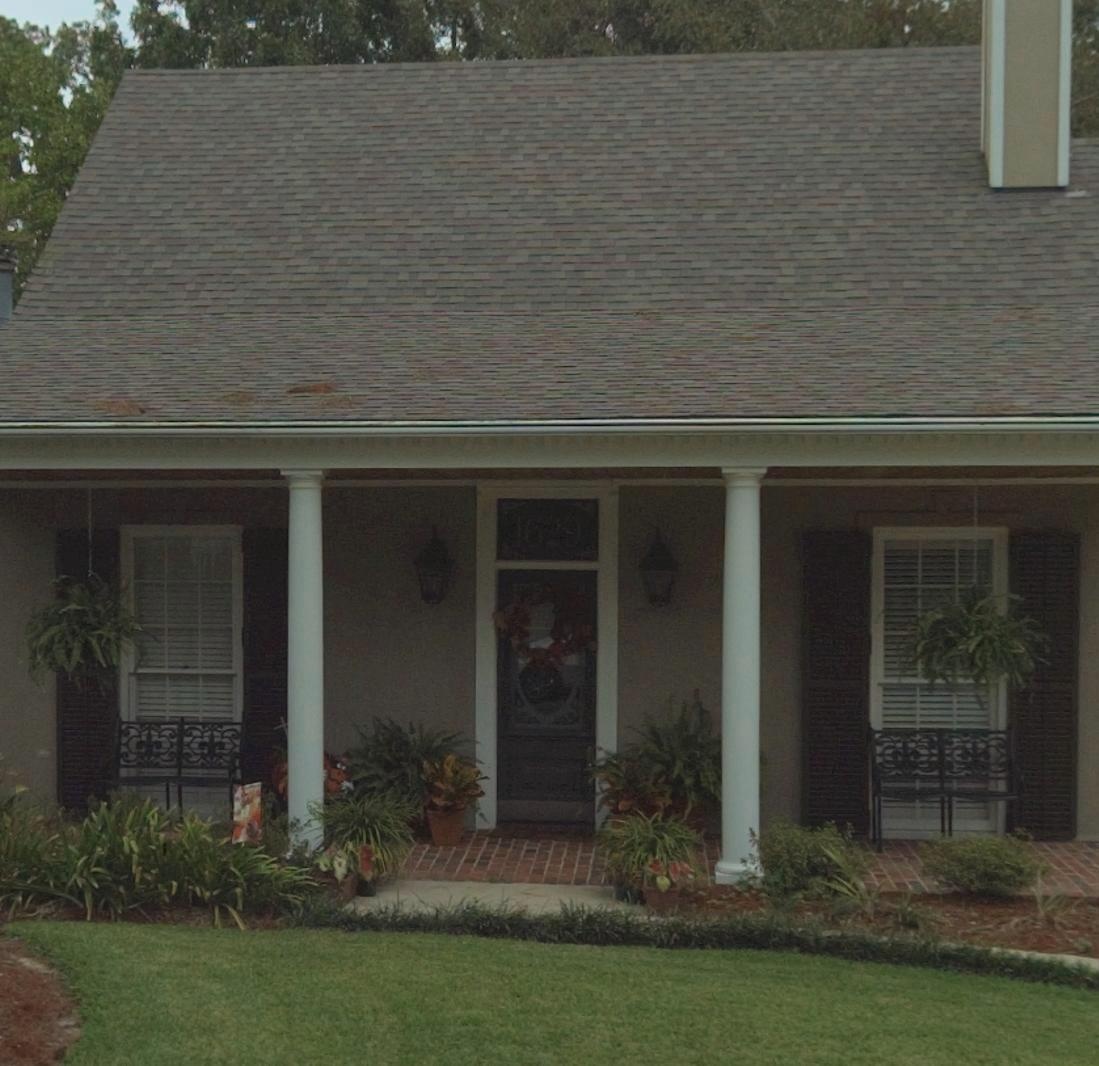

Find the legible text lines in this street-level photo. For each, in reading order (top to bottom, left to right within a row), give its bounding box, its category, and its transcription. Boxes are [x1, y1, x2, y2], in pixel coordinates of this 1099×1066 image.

[514, 511, 583, 551] StreetNumber: 1639